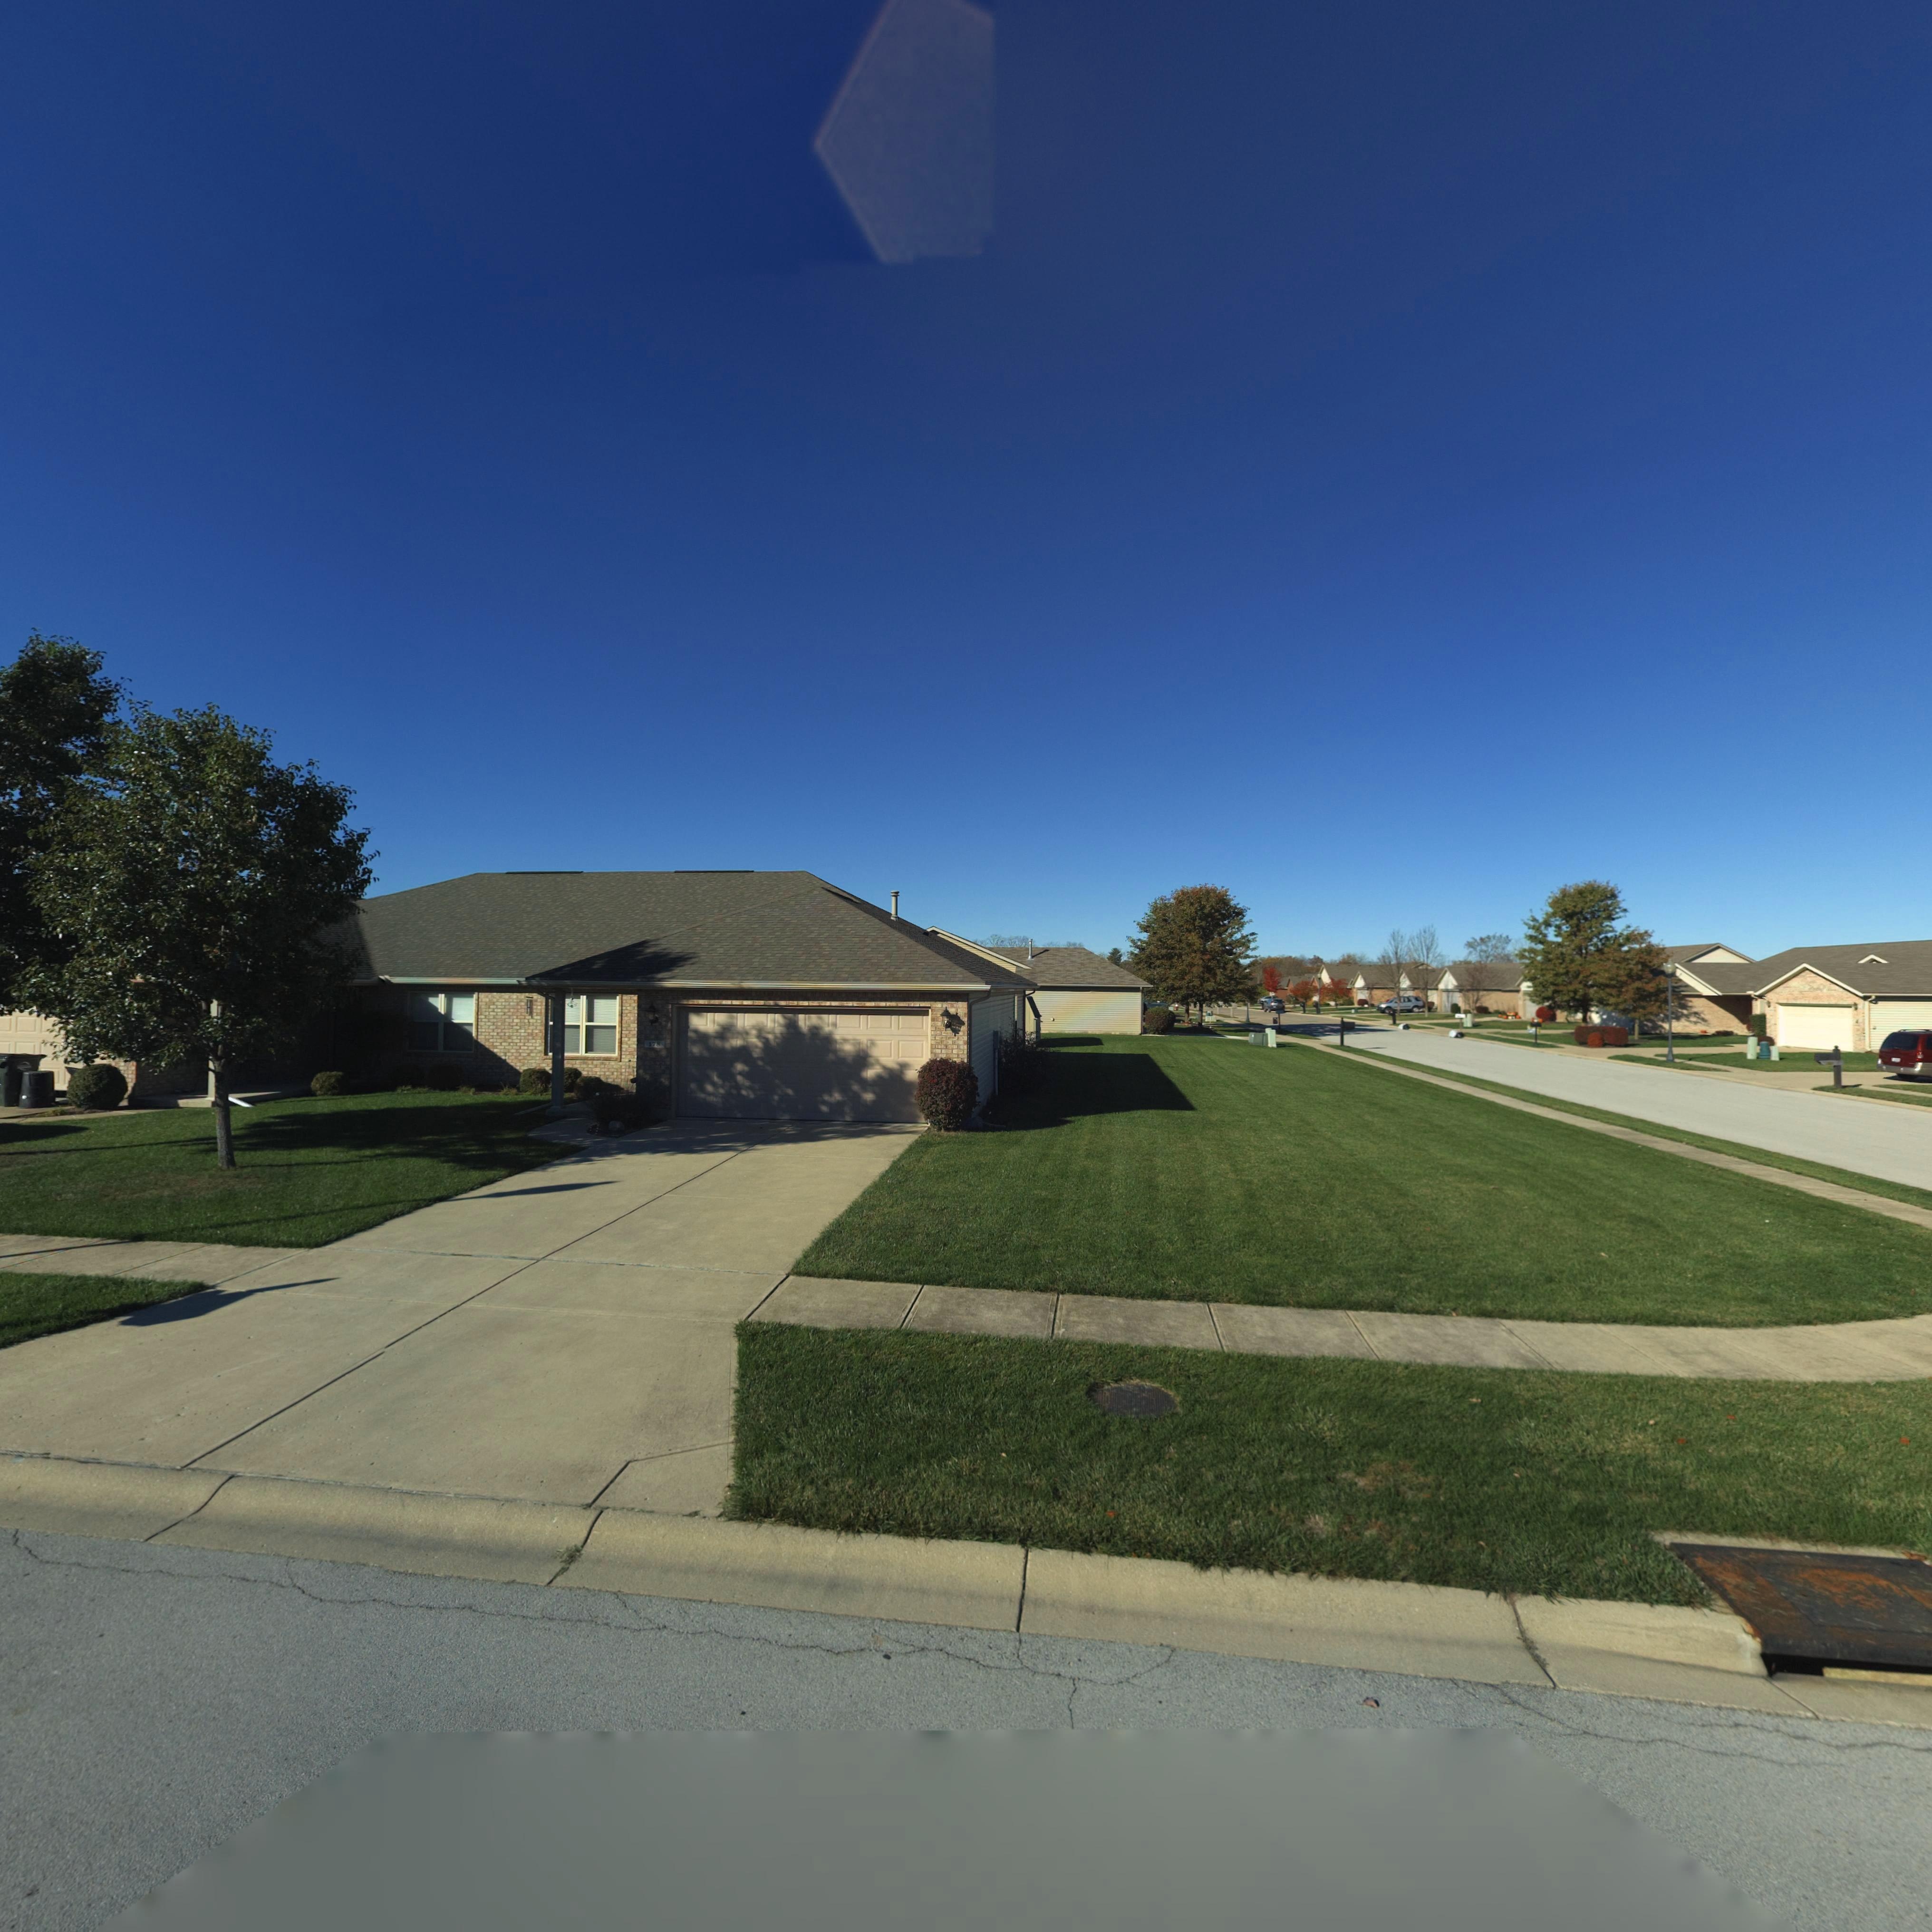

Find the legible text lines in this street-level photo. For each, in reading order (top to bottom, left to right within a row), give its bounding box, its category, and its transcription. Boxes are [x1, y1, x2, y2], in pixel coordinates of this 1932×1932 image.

[648, 1041, 661, 1047] StreetNumber: 178